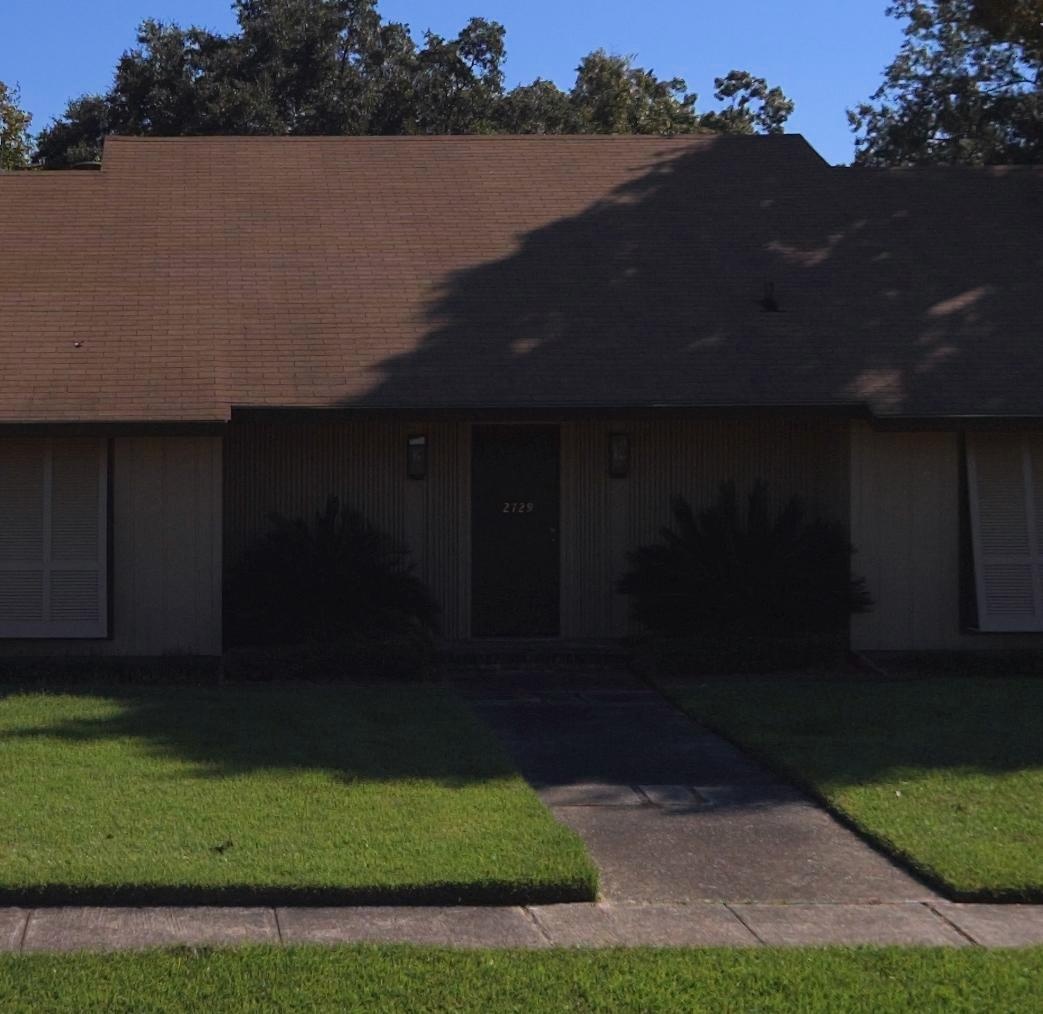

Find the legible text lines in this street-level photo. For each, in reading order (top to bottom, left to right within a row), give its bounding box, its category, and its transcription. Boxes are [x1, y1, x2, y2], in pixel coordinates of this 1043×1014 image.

[501, 500, 536, 515] StreetNumber: 2729